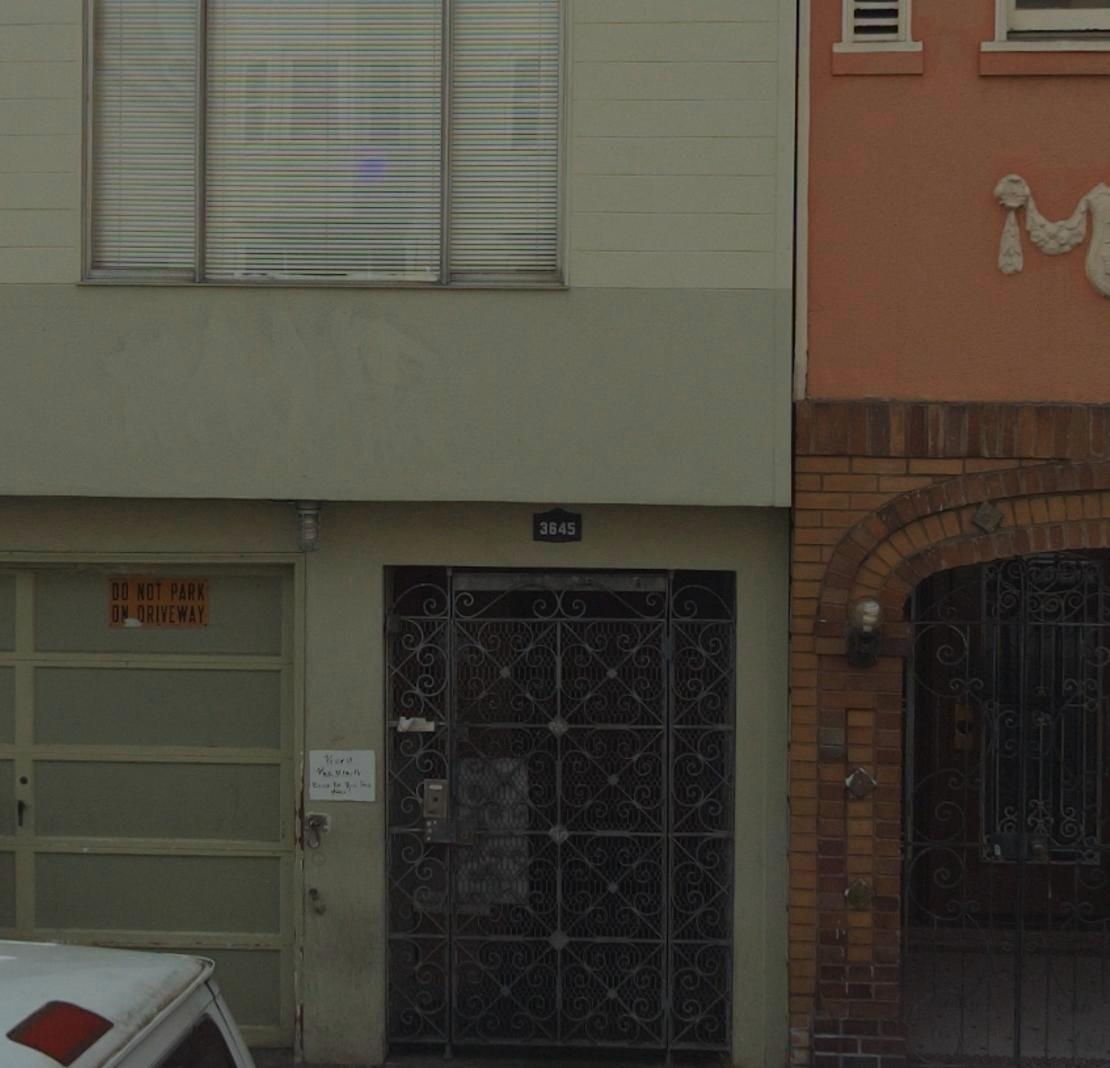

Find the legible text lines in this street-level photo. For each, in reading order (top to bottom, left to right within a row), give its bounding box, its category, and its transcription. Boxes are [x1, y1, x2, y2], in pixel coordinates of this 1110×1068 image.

[539, 521, 577, 537] StreetNumber: 3645
[110, 581, 205, 602] None: DO NOT PARK
[110, 603, 205, 625] None: ON DRIVEWAY